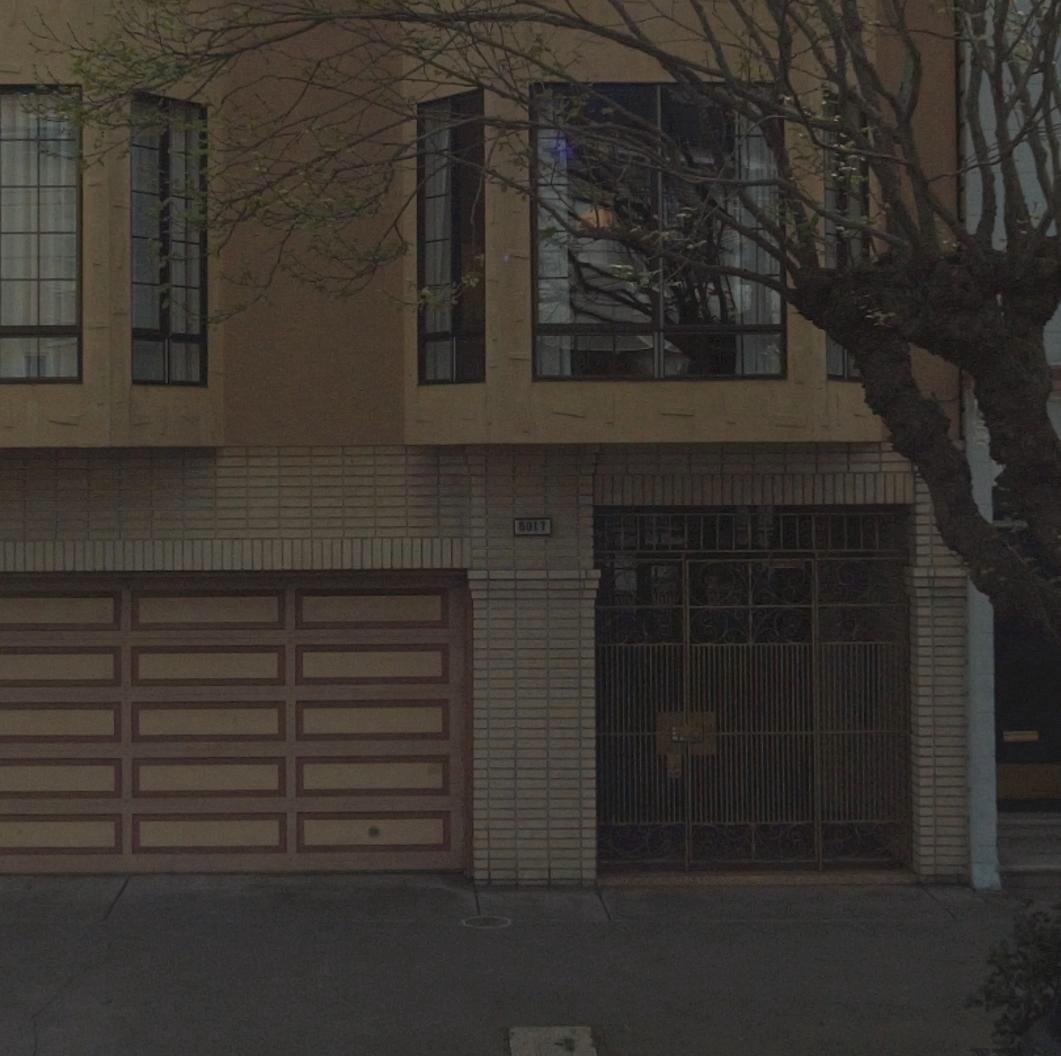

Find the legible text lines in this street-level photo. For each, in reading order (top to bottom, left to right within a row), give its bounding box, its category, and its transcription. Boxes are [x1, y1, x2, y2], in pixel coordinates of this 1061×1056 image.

[518, 521, 546, 531] StreetNumber: 6017